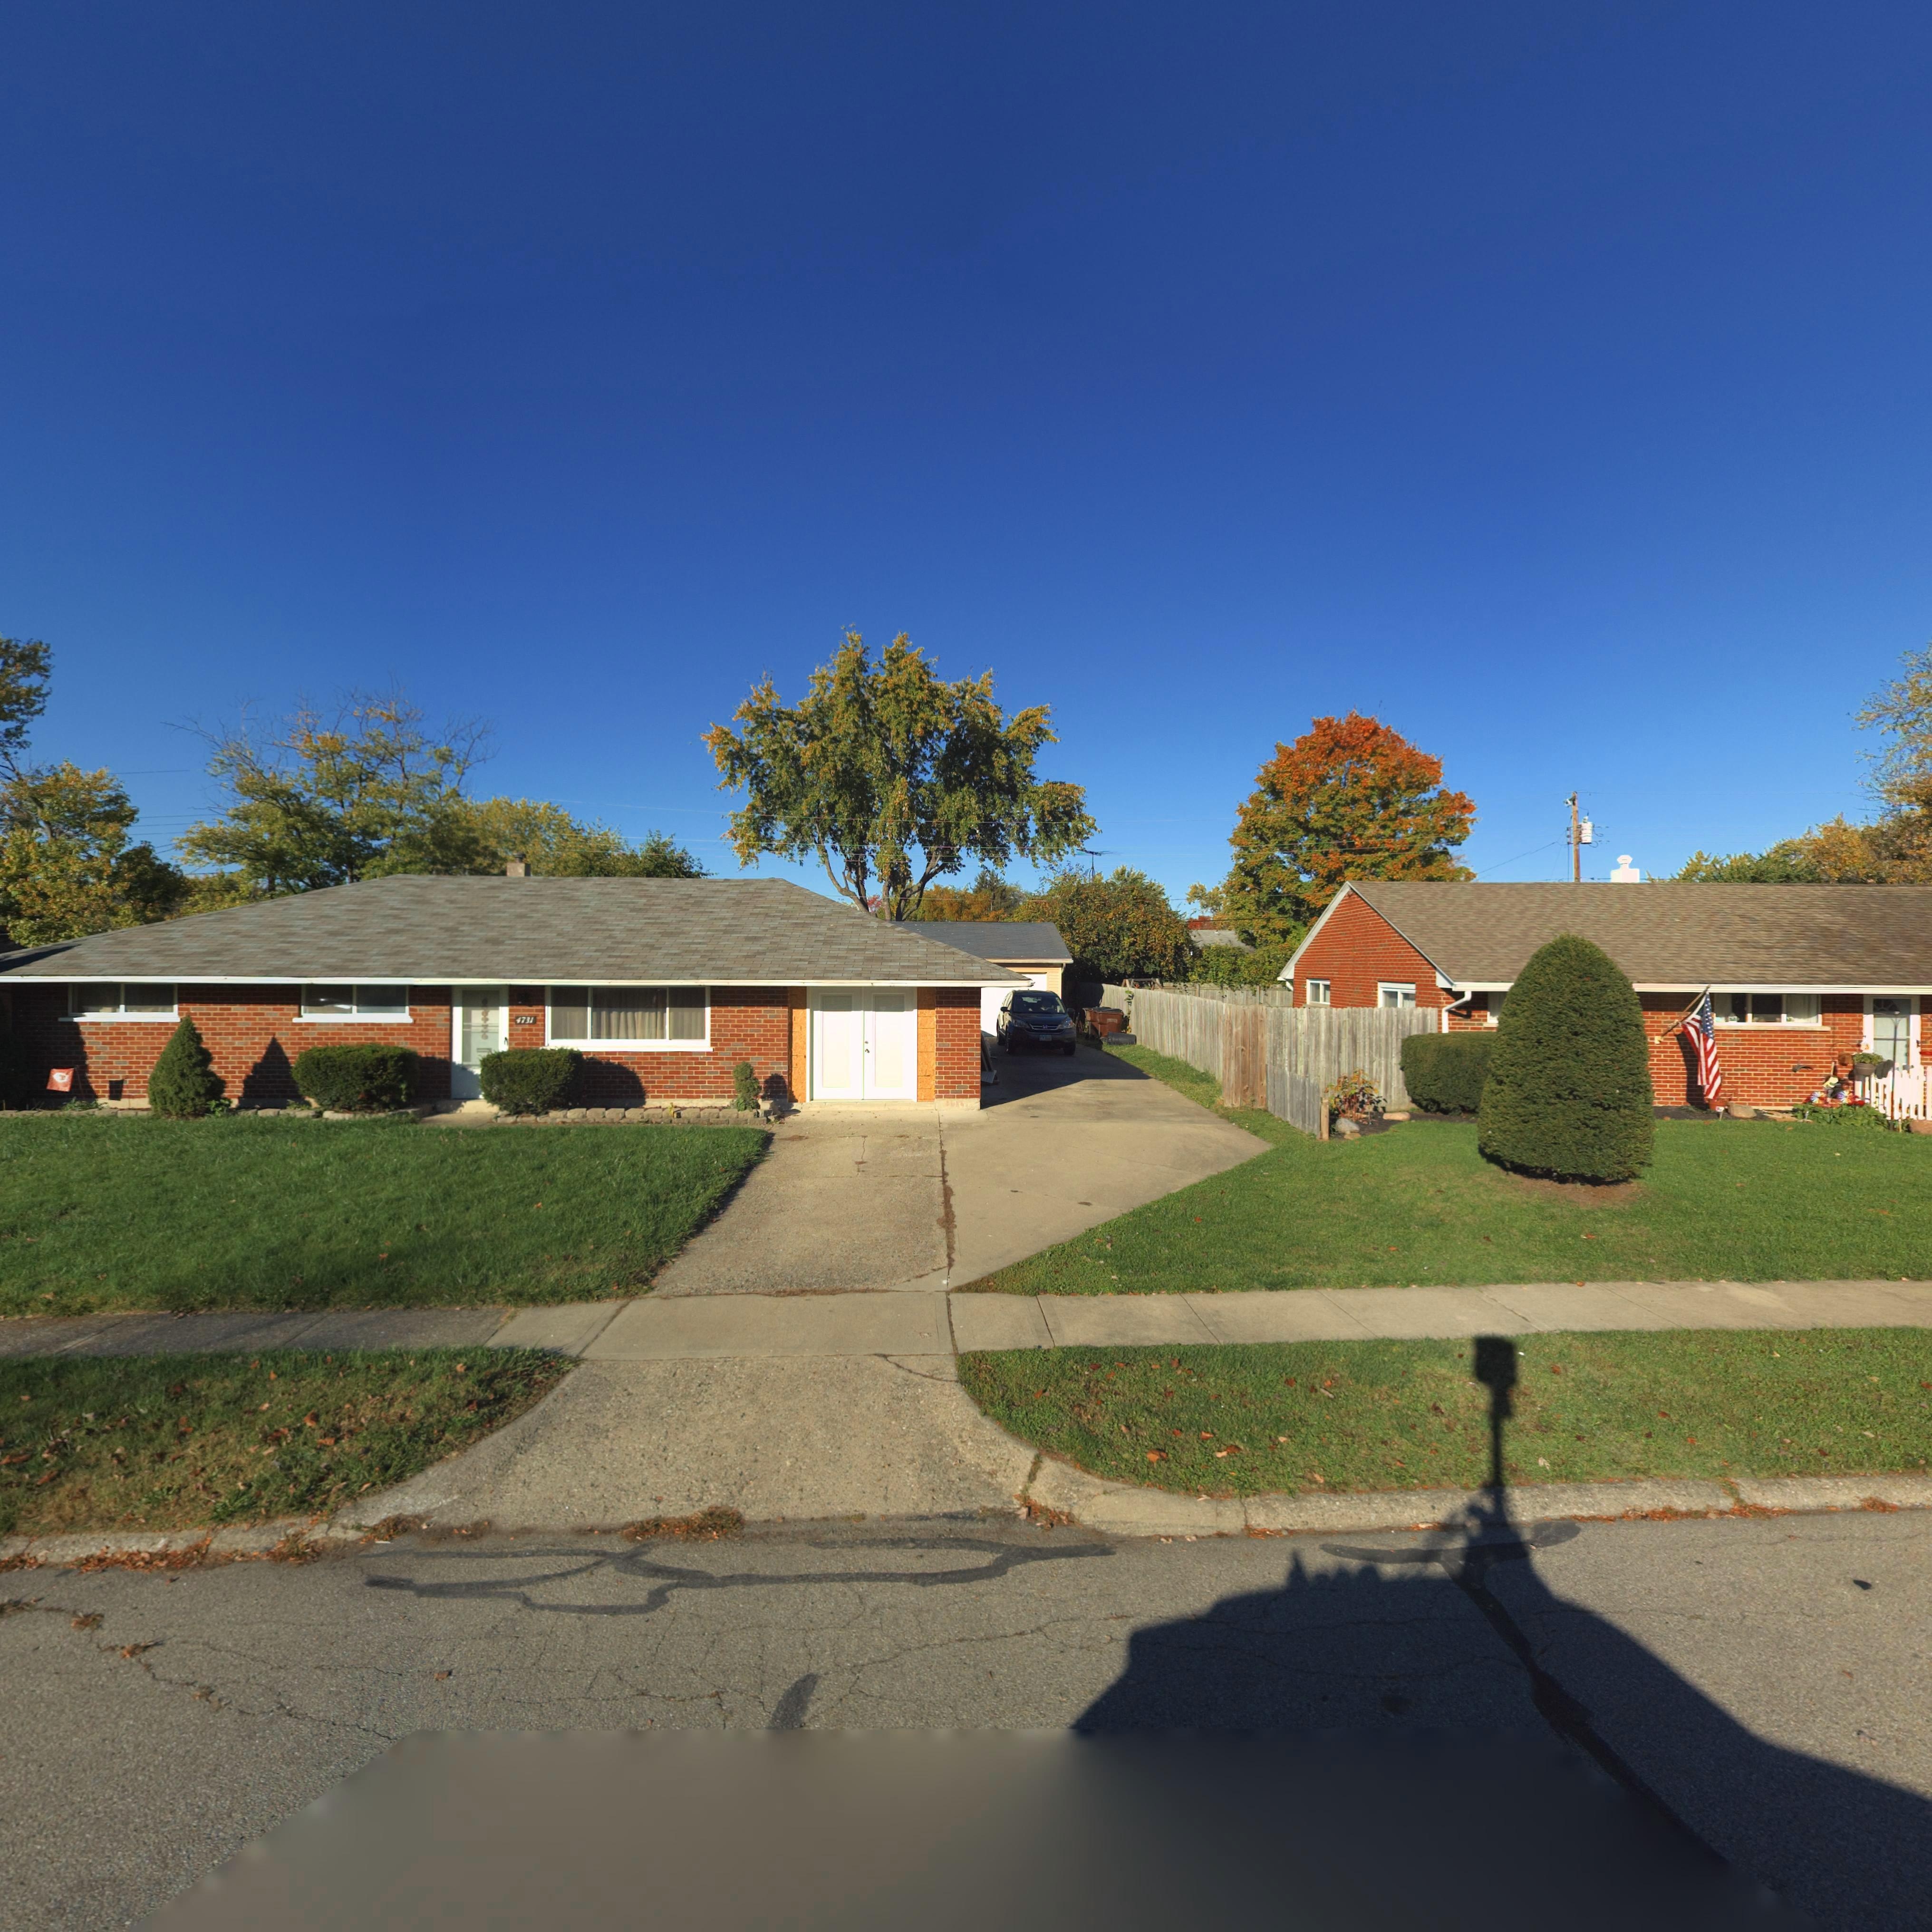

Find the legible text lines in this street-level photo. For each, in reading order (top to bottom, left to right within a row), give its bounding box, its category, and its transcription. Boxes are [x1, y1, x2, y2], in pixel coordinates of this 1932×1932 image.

[515, 1016, 534, 1024] StreetNumber: 4731